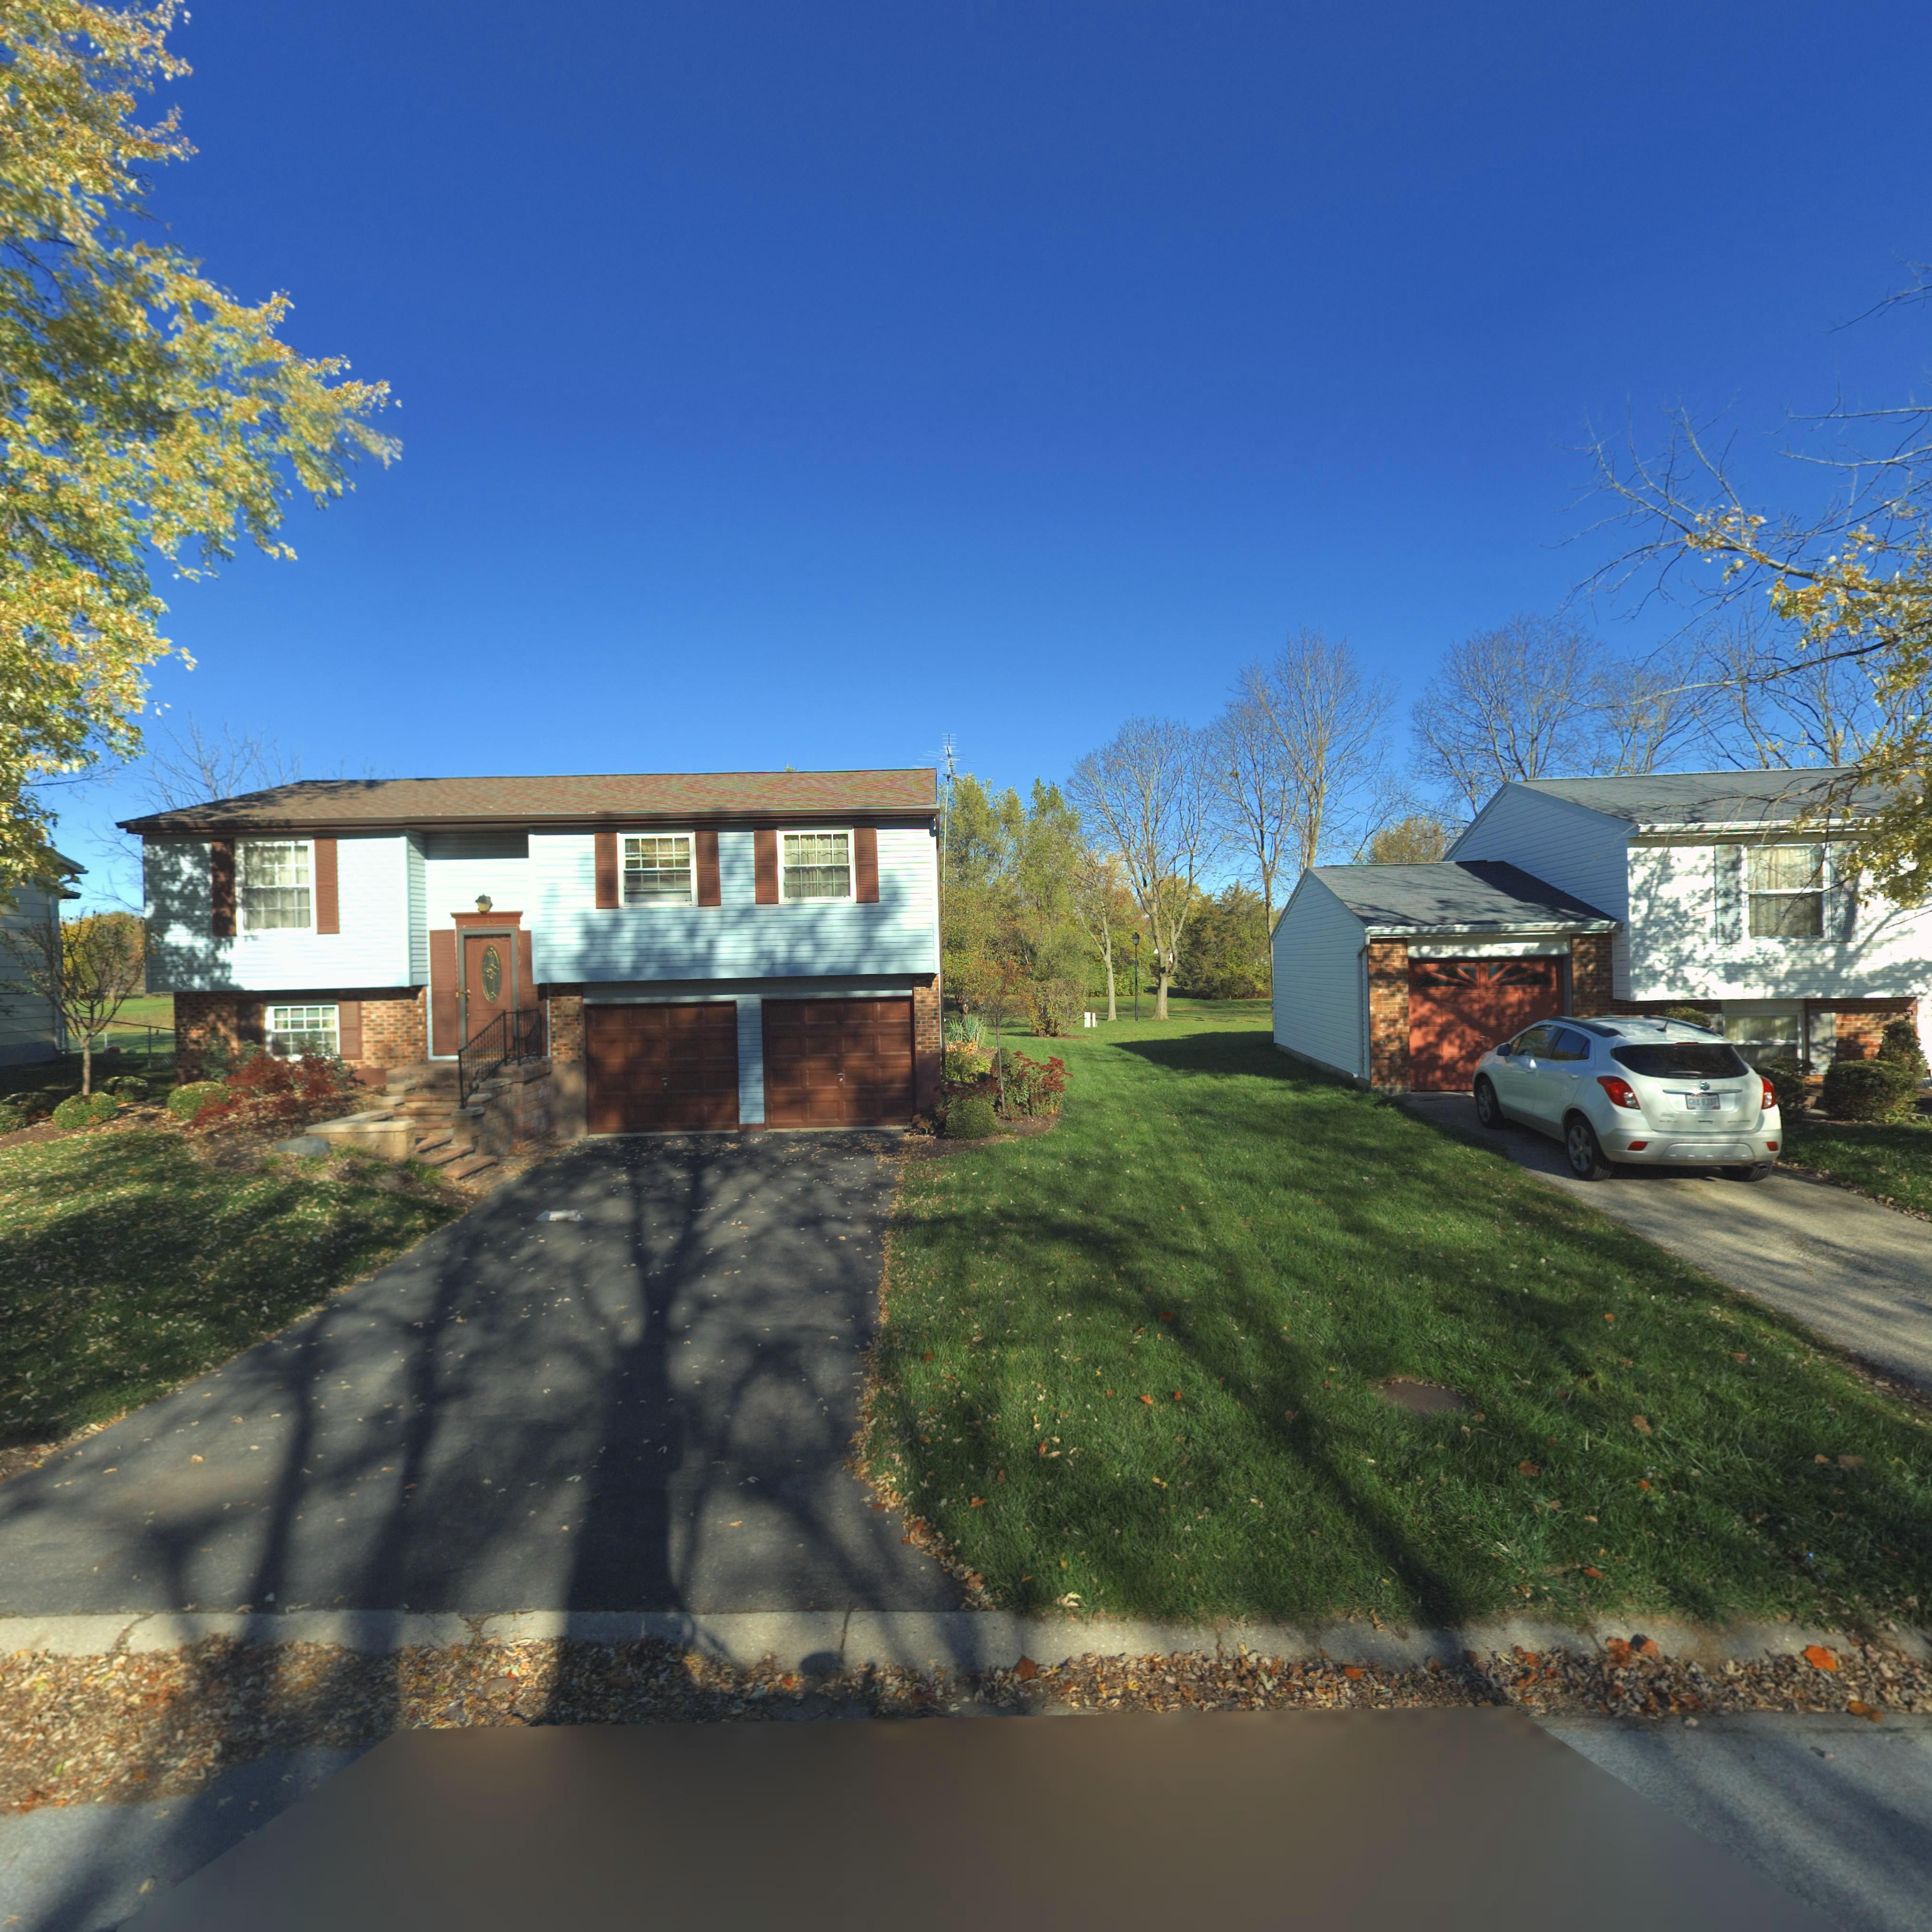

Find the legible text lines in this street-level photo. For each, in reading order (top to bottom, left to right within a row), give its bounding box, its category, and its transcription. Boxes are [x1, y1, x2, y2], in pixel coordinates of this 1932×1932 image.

[480, 917, 496, 925] StreetNumber: 146